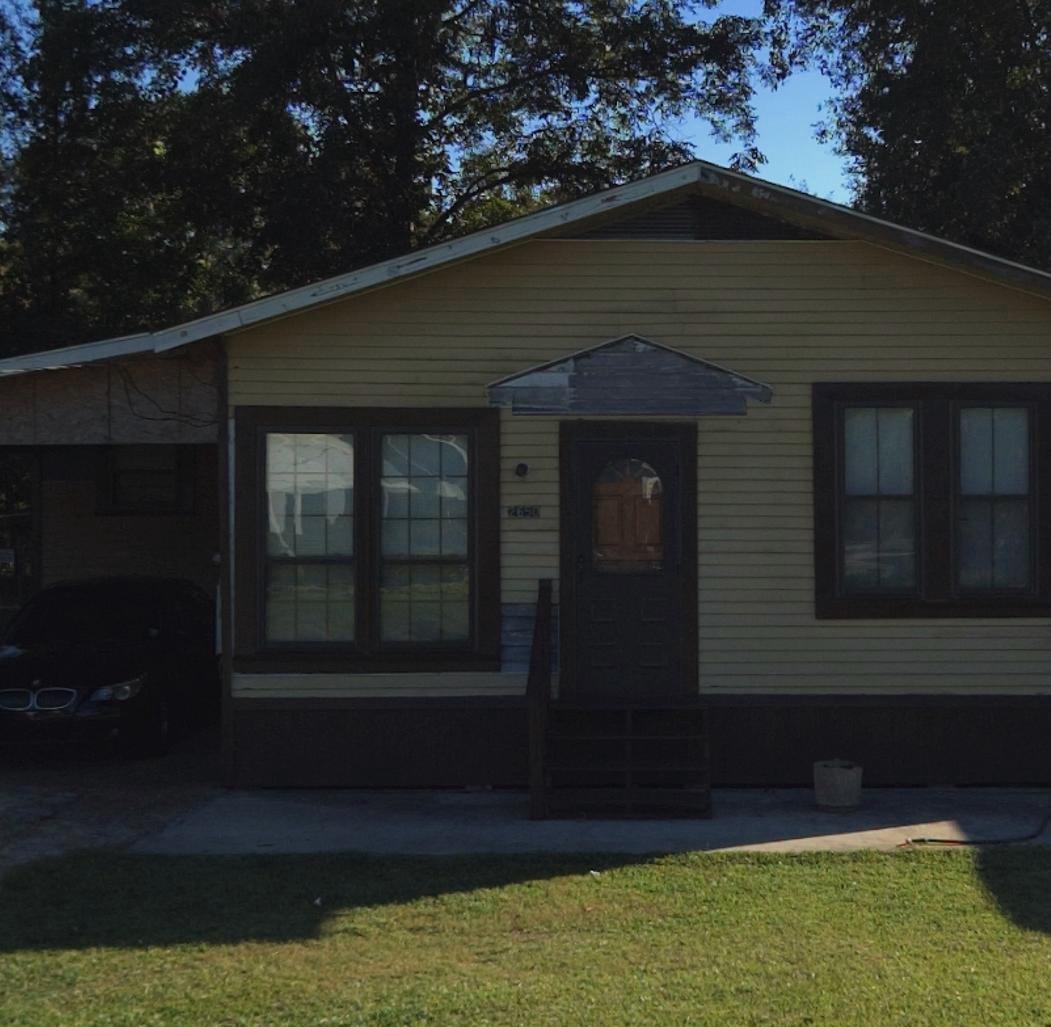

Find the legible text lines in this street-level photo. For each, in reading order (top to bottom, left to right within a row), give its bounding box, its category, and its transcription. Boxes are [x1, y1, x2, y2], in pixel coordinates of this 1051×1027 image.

[509, 505, 541, 518] StreetNumber: 2650